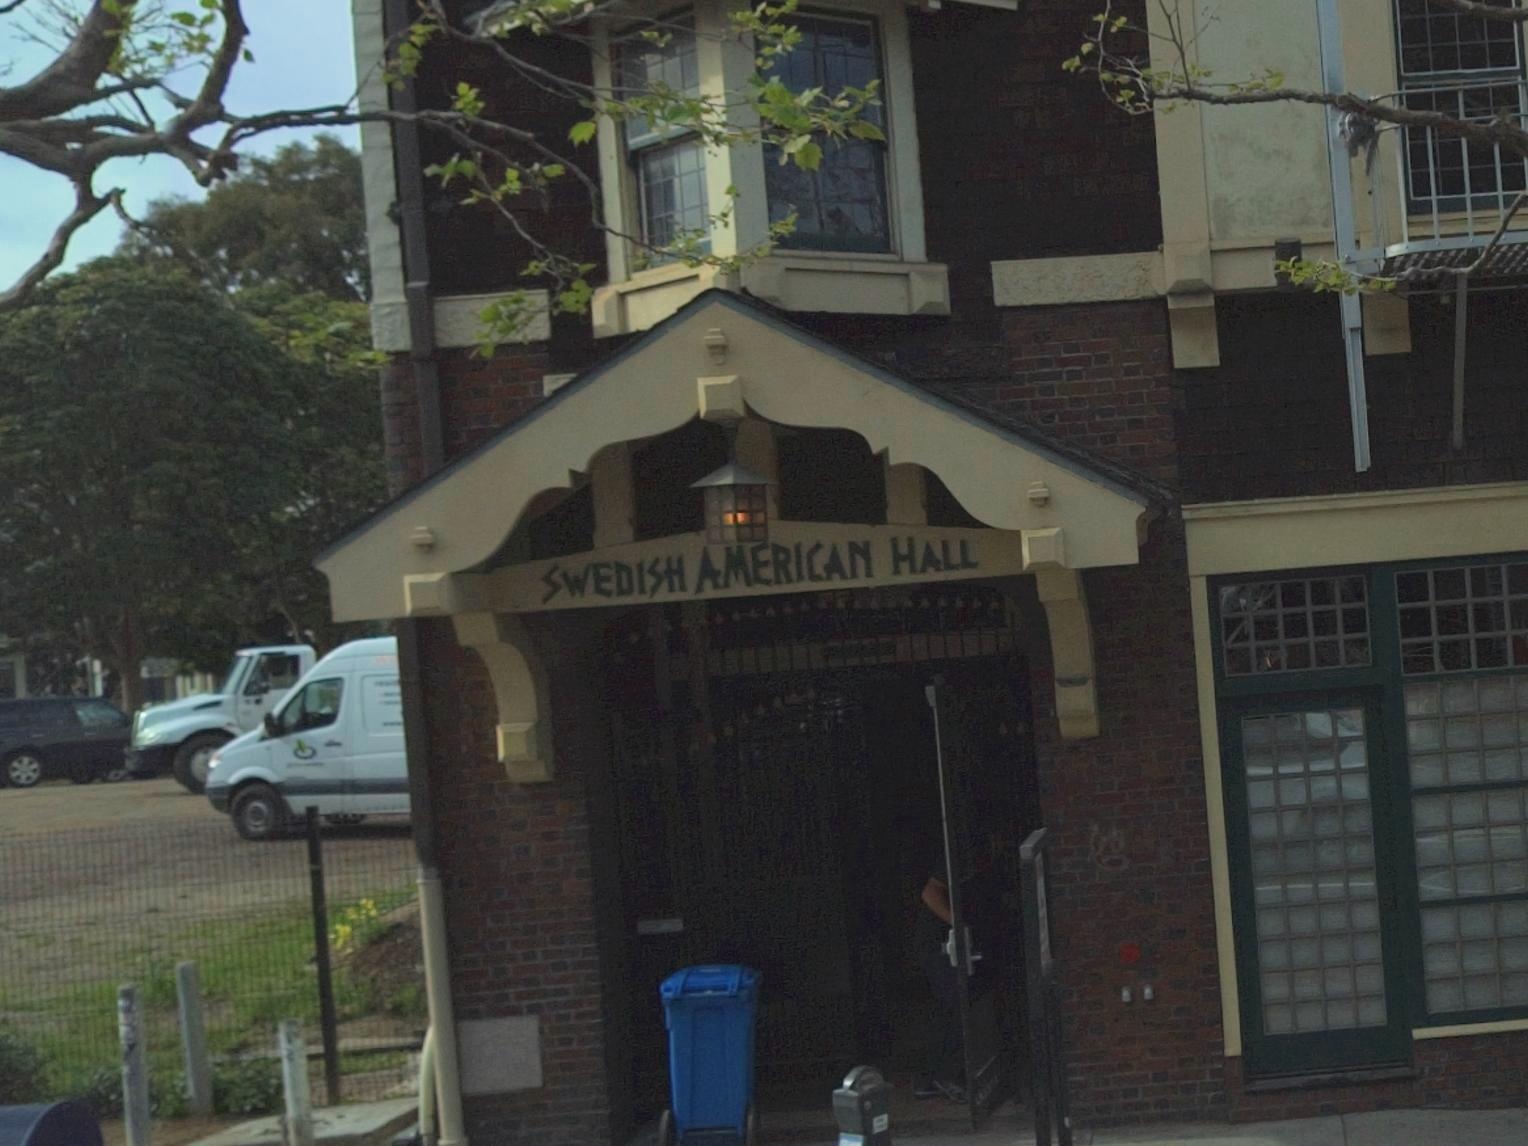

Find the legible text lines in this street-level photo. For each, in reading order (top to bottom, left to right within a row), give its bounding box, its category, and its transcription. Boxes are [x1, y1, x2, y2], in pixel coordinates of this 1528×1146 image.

[535, 534, 983, 609] BusinessName: SWEDISH AMERICAN HALL